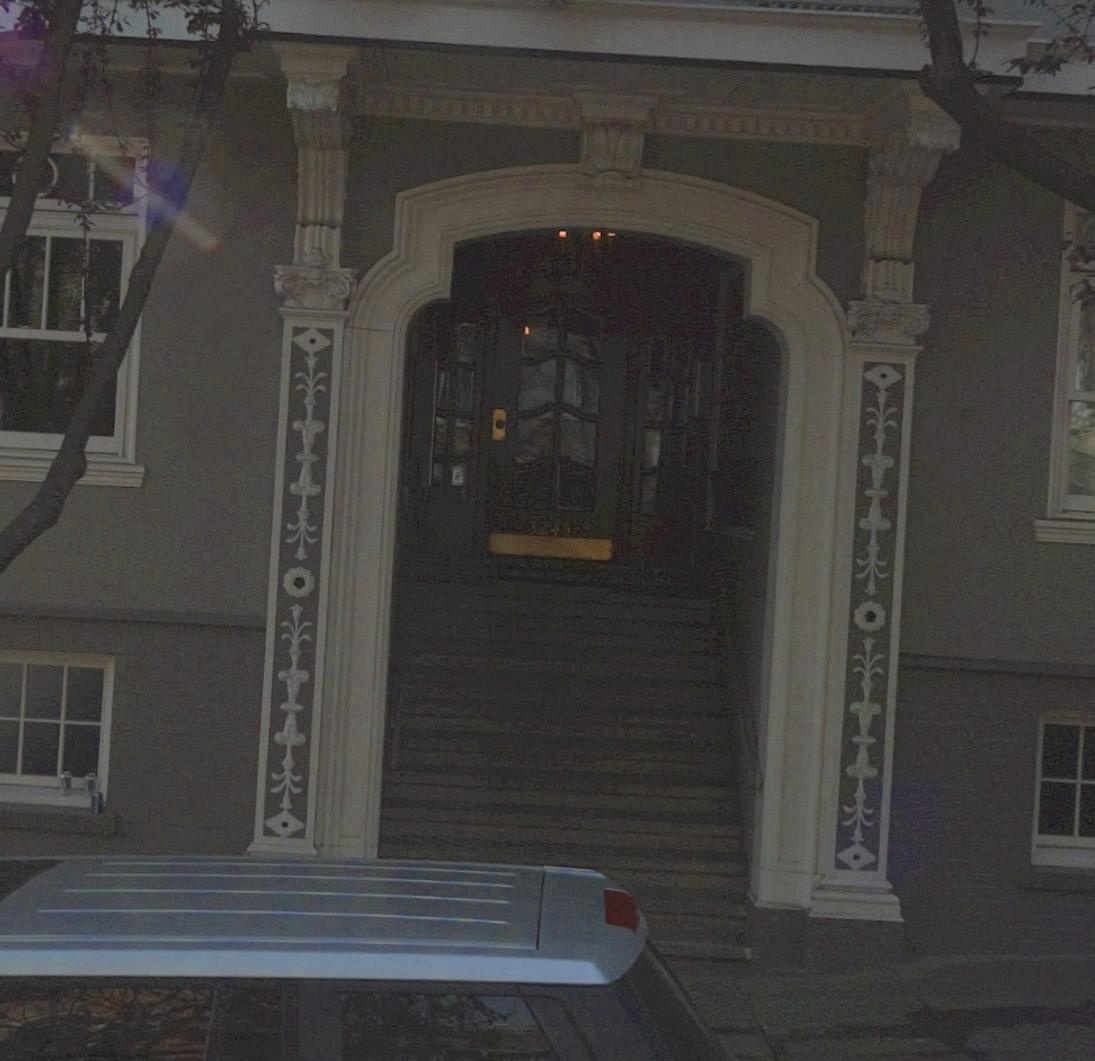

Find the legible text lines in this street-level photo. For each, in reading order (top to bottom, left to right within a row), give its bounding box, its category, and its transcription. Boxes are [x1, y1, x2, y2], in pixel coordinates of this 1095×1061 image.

[526, 518, 577, 539] StreetNumber: 324*